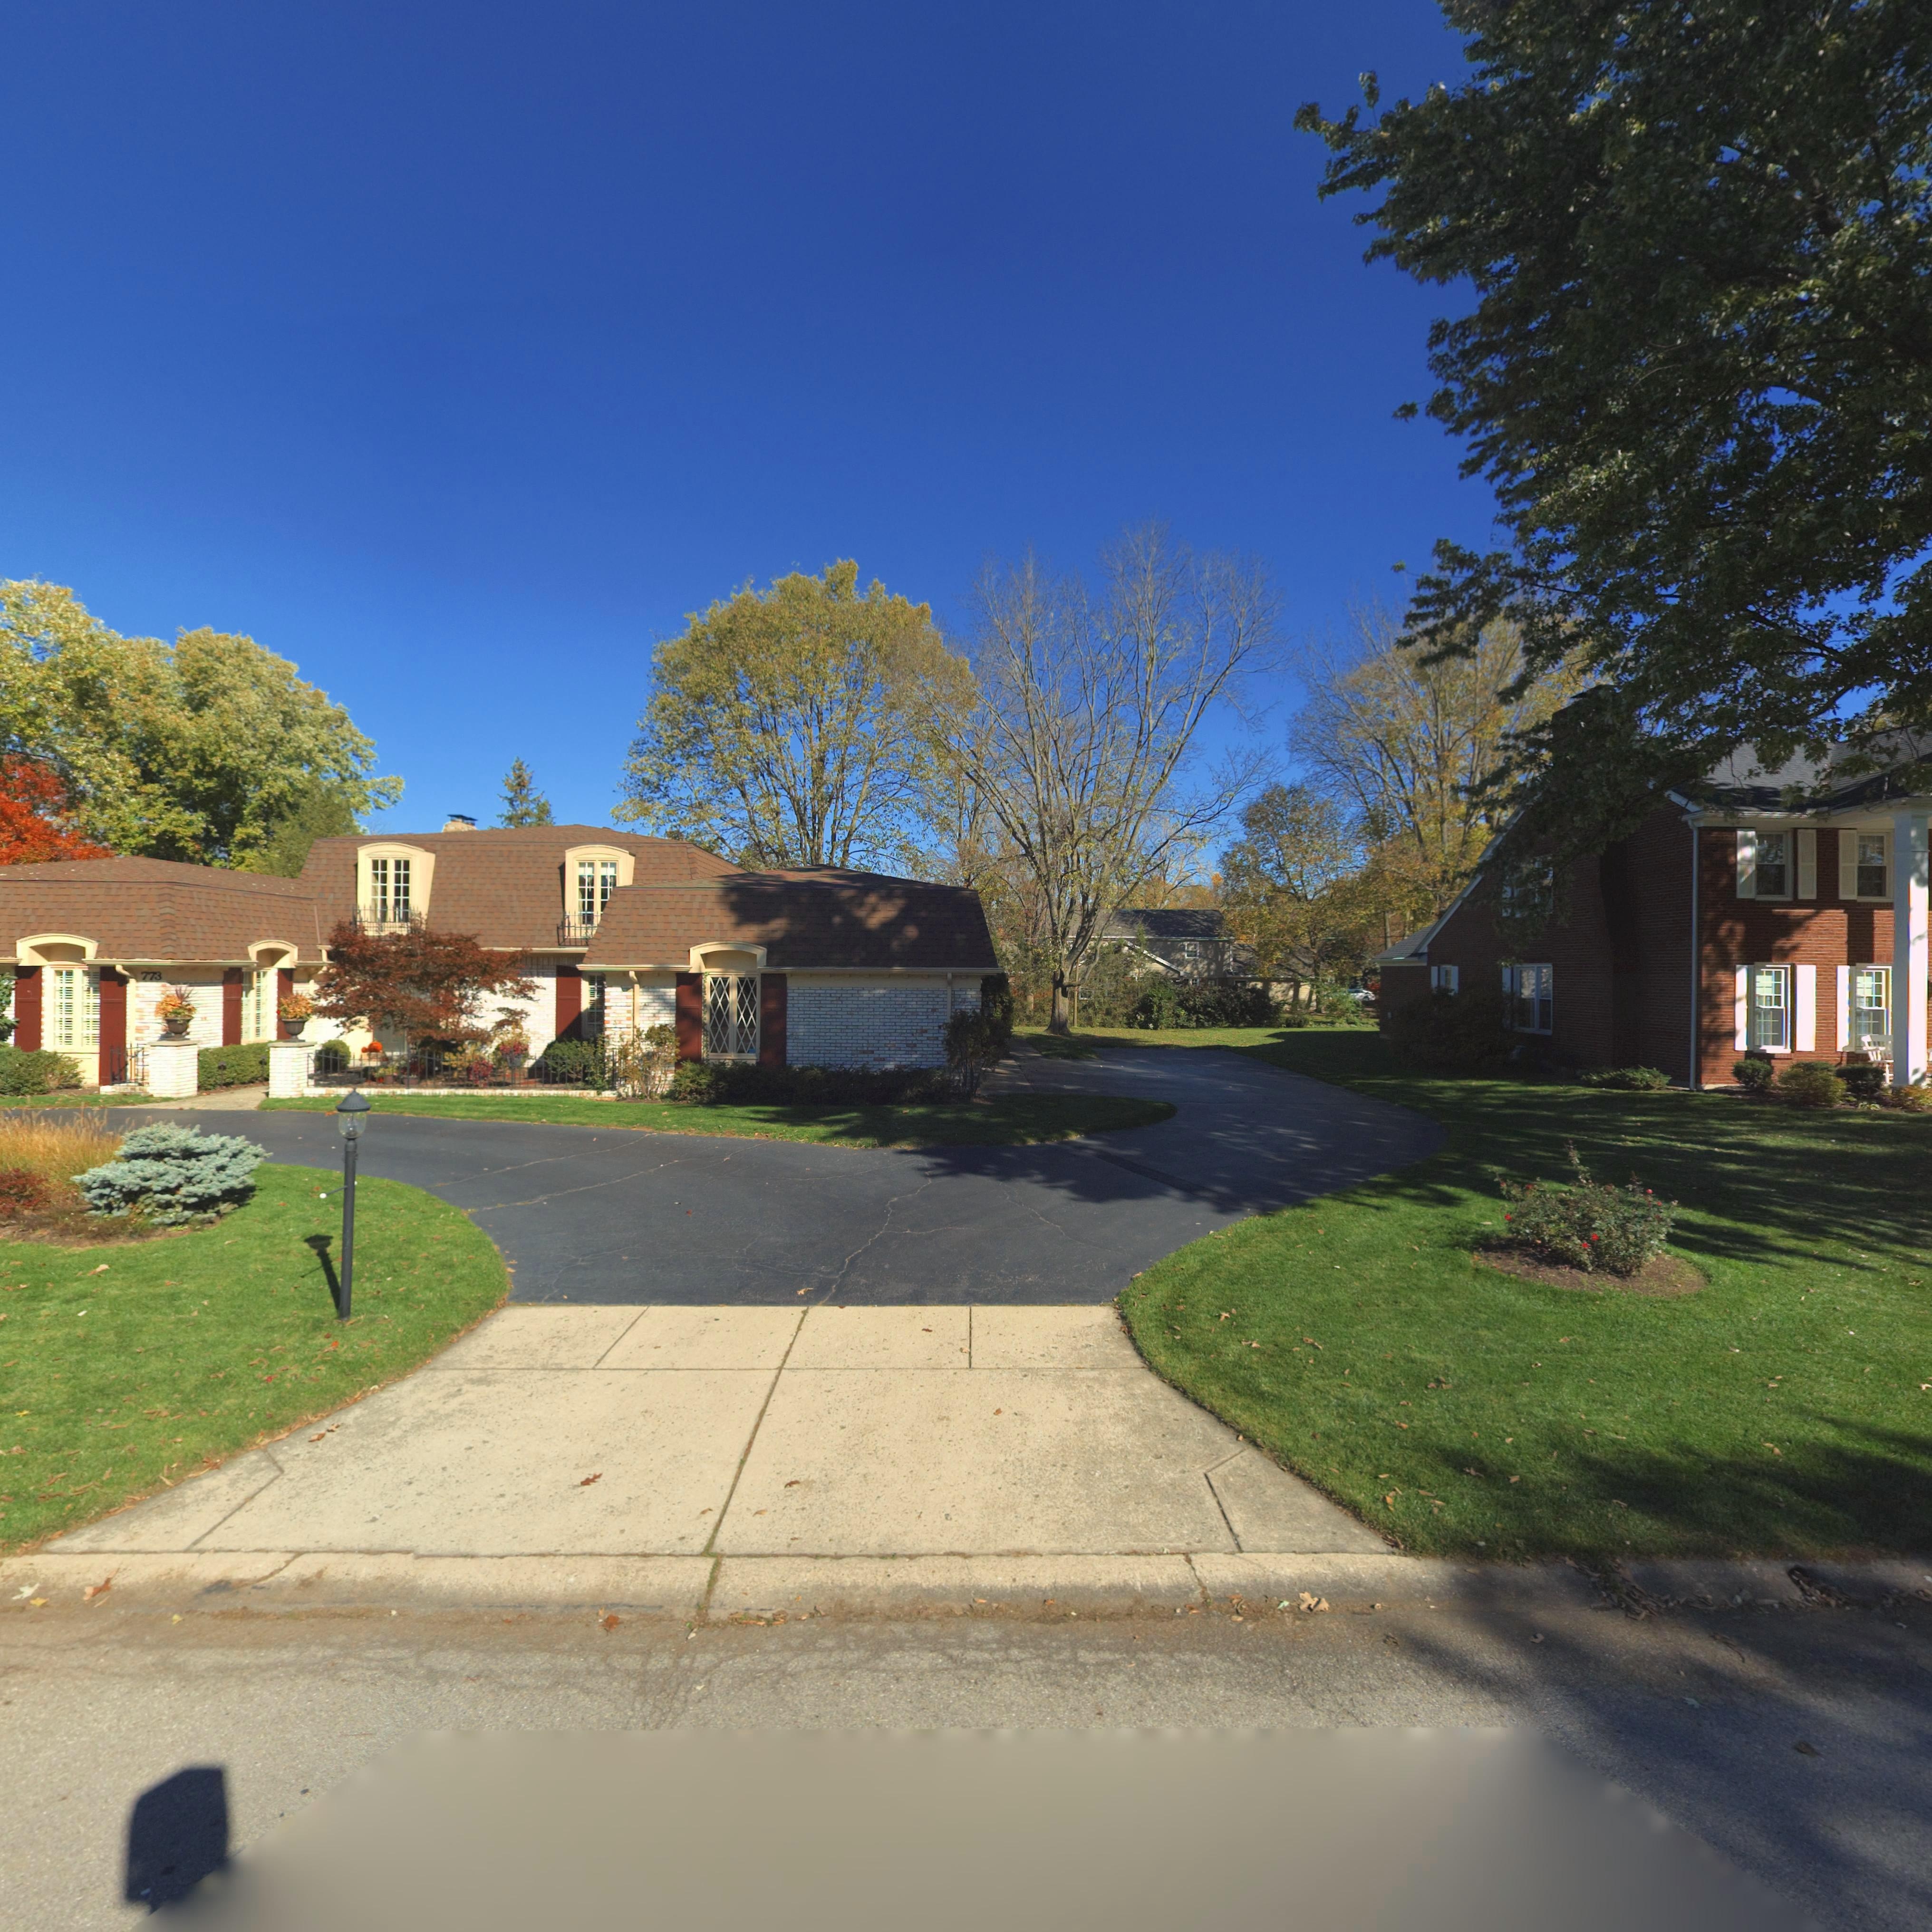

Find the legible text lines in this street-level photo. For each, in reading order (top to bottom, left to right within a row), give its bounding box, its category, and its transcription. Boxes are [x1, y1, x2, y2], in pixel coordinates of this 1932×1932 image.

[140, 971, 163, 981] StreetNumber: 773